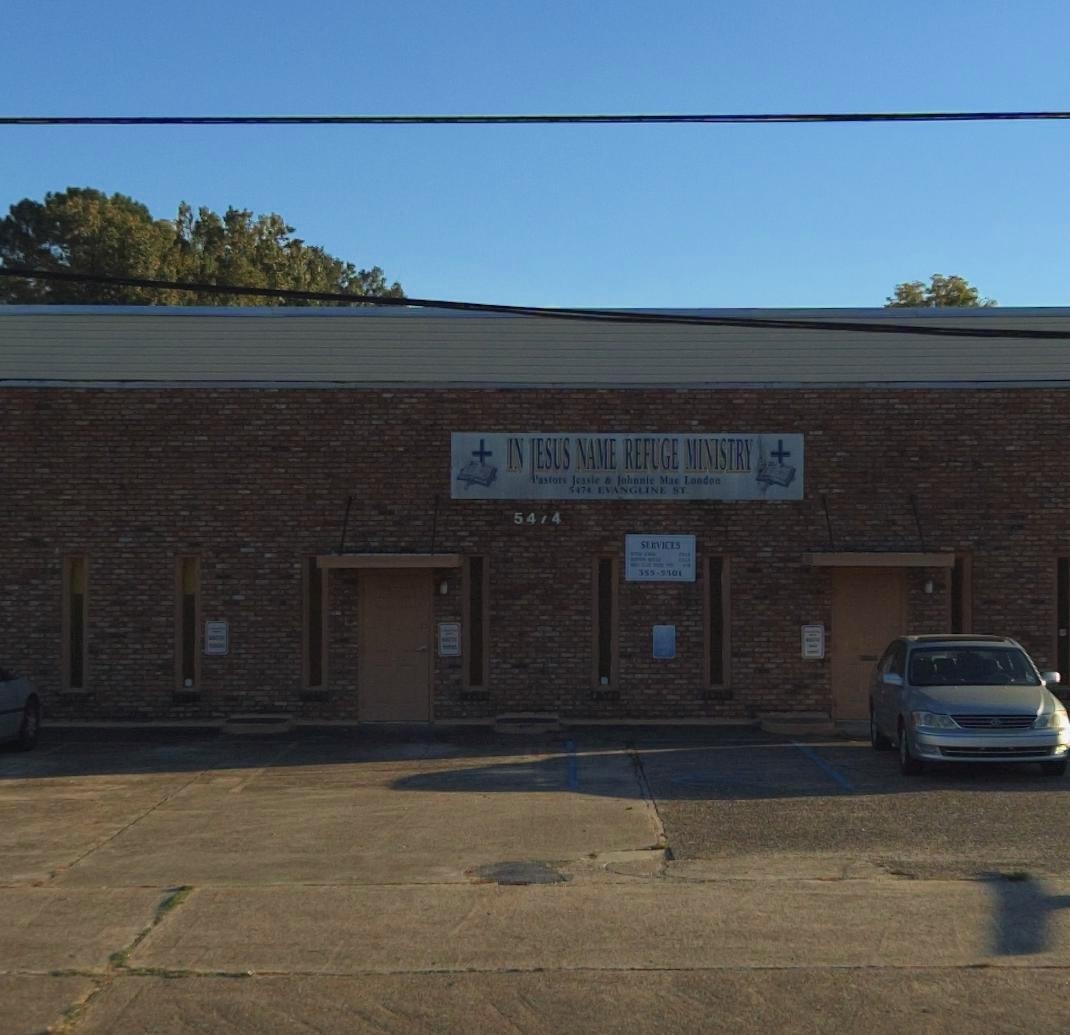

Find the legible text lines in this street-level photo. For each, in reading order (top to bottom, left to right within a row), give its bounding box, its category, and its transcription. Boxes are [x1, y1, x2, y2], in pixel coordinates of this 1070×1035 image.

[505, 437, 754, 483] BusinessName: IN JESUS NAME REFUGE MINISTRY
[532, 475, 721, 485] None: Pastore Jessie & Johnnie Mac London
[568, 486, 592, 494] StreetNumber: 5474
[597, 486, 690, 495] StreetName: EVANGLINE ST
[513, 512, 562, 525] StreetNumber: 5474
[640, 540, 681, 550] None: SERVICES
[638, 568, 683, 577] None: 355-5301